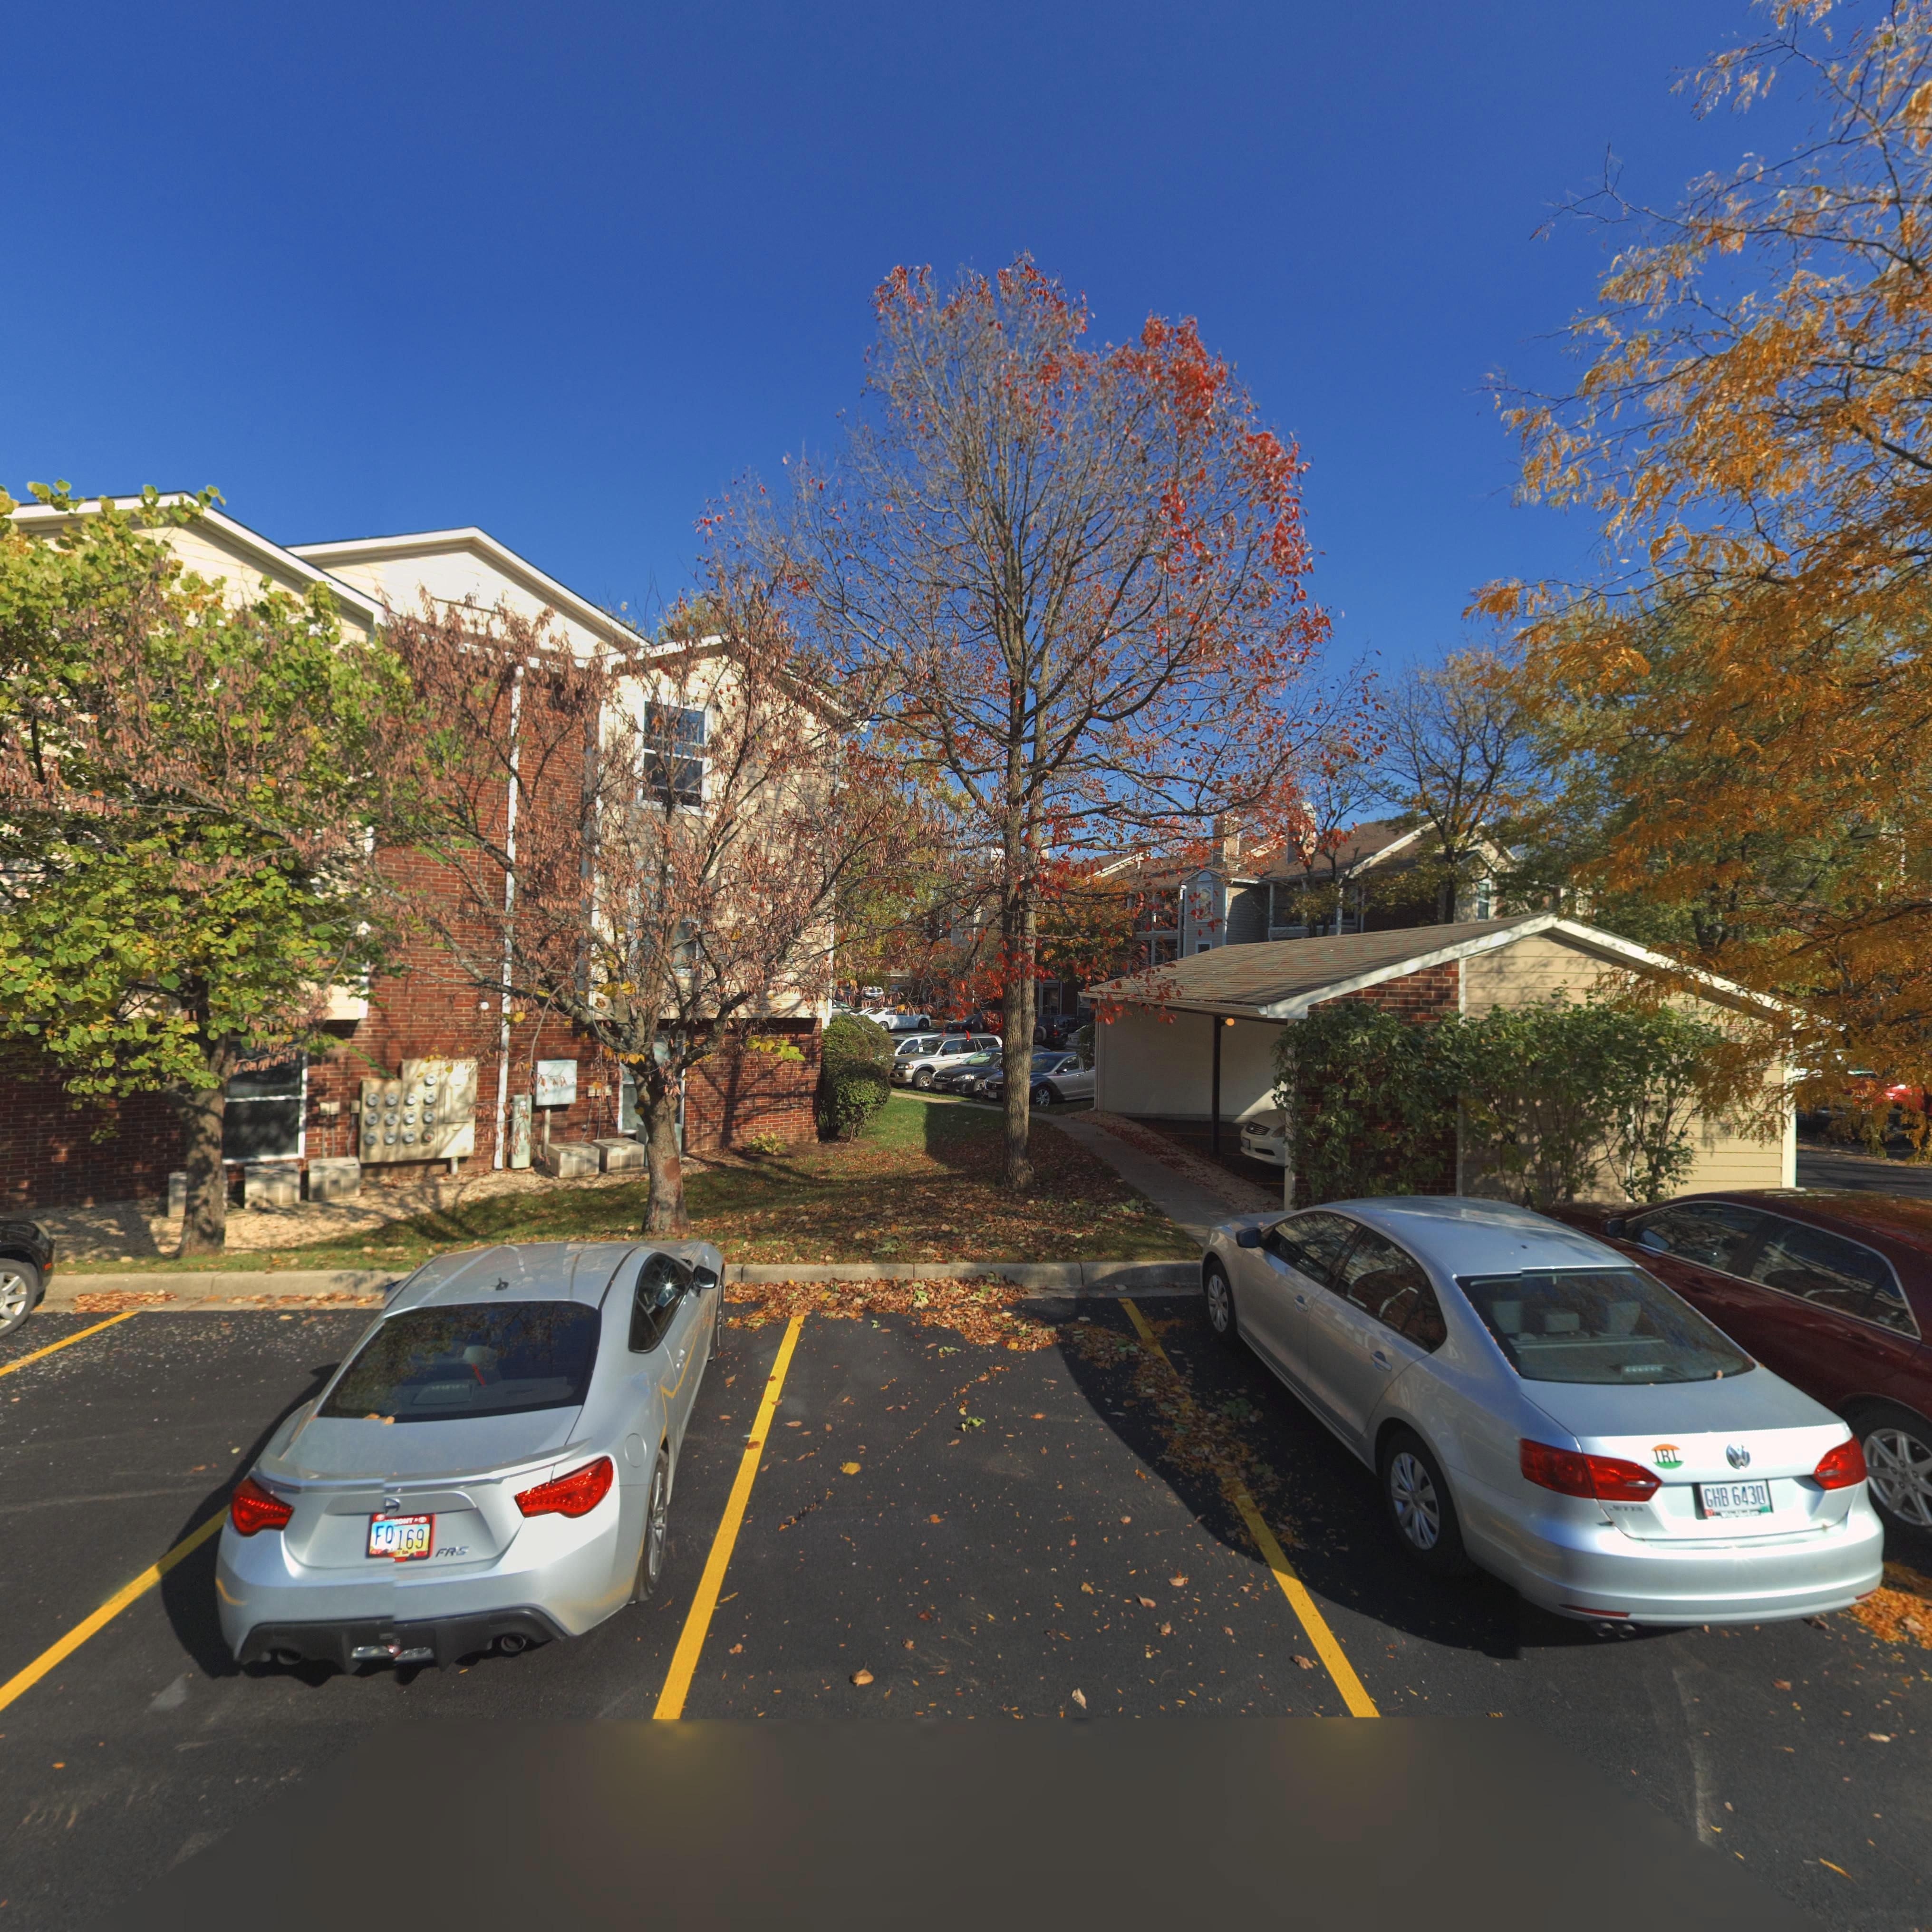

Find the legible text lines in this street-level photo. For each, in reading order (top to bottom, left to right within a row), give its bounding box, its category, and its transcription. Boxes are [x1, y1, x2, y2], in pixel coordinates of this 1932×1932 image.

[1653, 1446, 1682, 1466] None: IRL
[1702, 1483, 1767, 1510] None: GHB 6430
[373, 1526, 426, 1553] None: F* 169